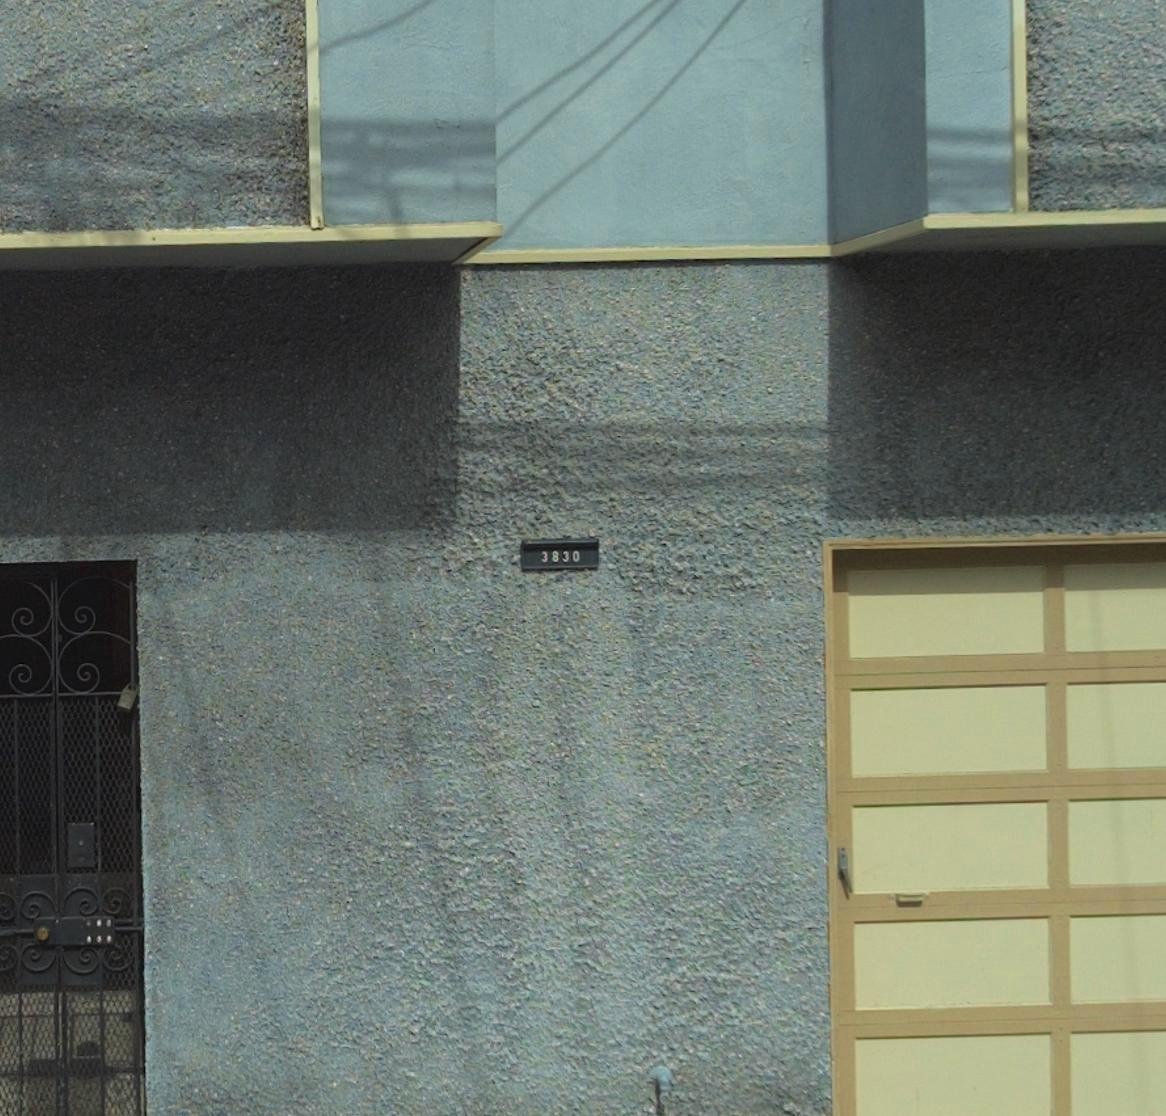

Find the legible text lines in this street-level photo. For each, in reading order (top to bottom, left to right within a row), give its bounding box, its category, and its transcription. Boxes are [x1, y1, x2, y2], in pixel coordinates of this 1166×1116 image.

[537, 549, 584, 565] StreetNumber: 3830